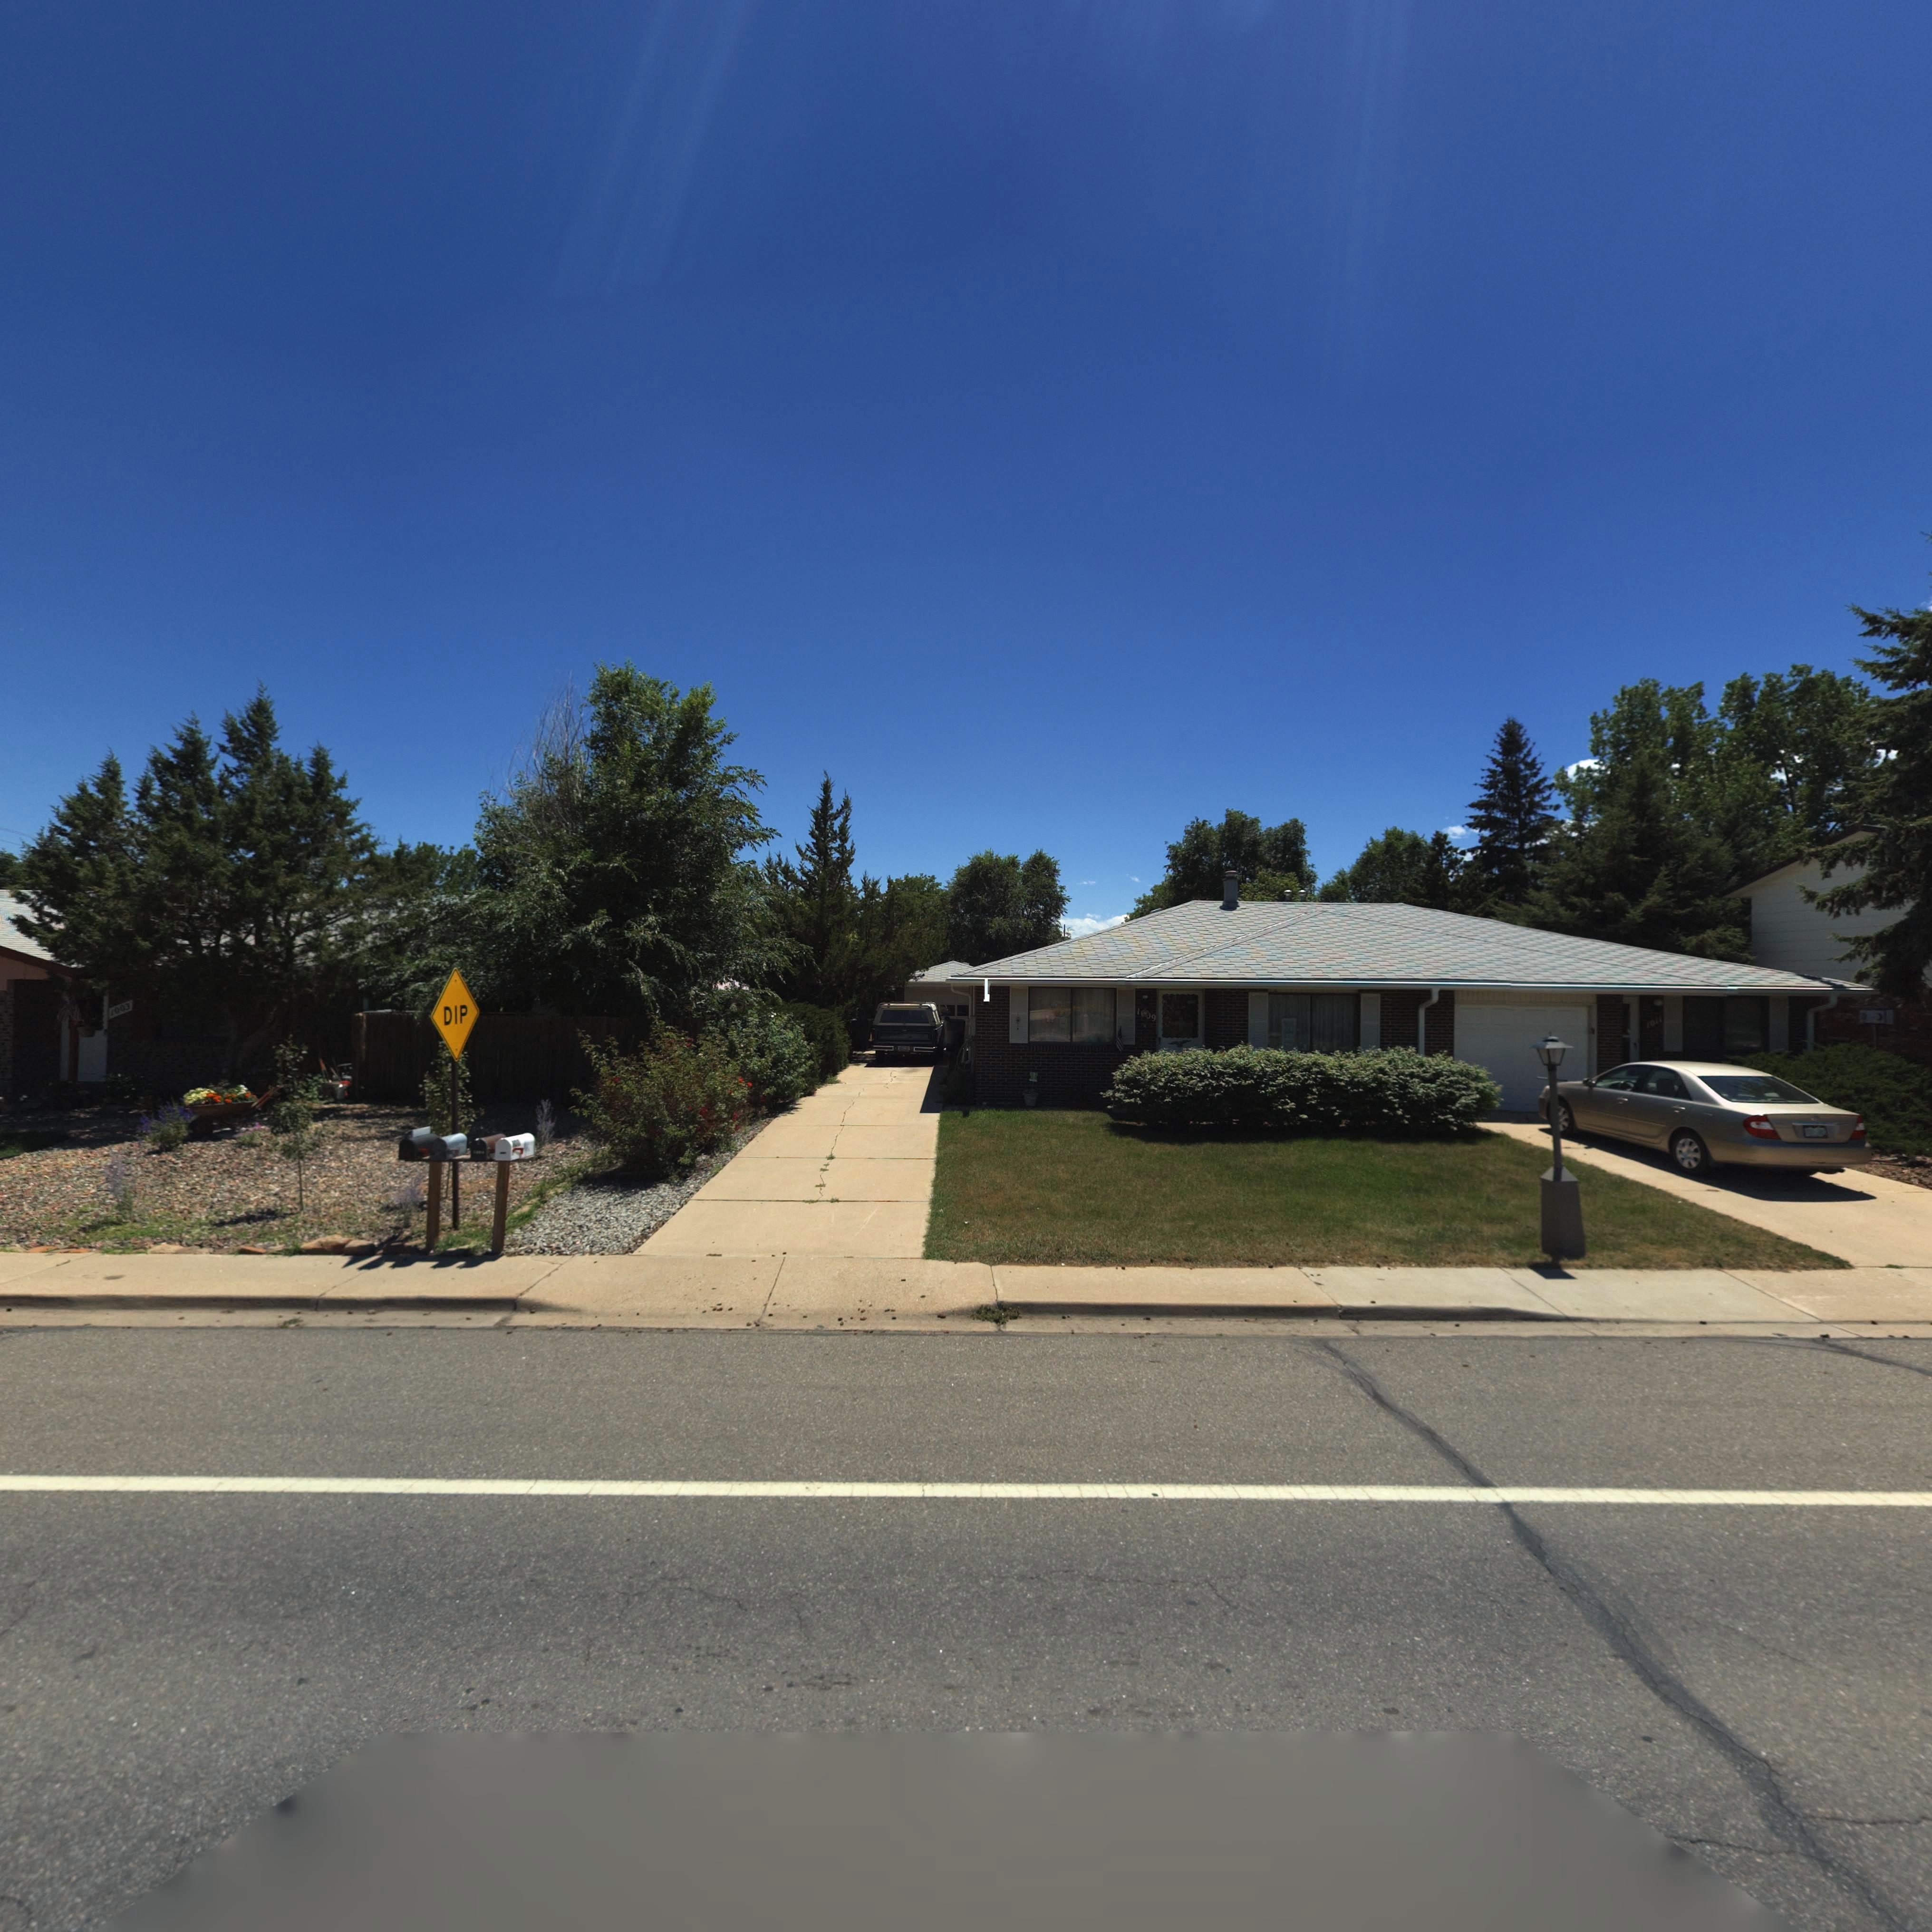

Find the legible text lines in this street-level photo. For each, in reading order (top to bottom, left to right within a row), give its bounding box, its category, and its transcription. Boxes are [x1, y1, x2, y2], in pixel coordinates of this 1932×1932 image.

[111, 1003, 130, 1016] StreetNumber: 1003
[1137, 1007, 1156, 1022] StreetNumber: 1*09
[511, 1139, 521, 1148] StreetNumber: 100*